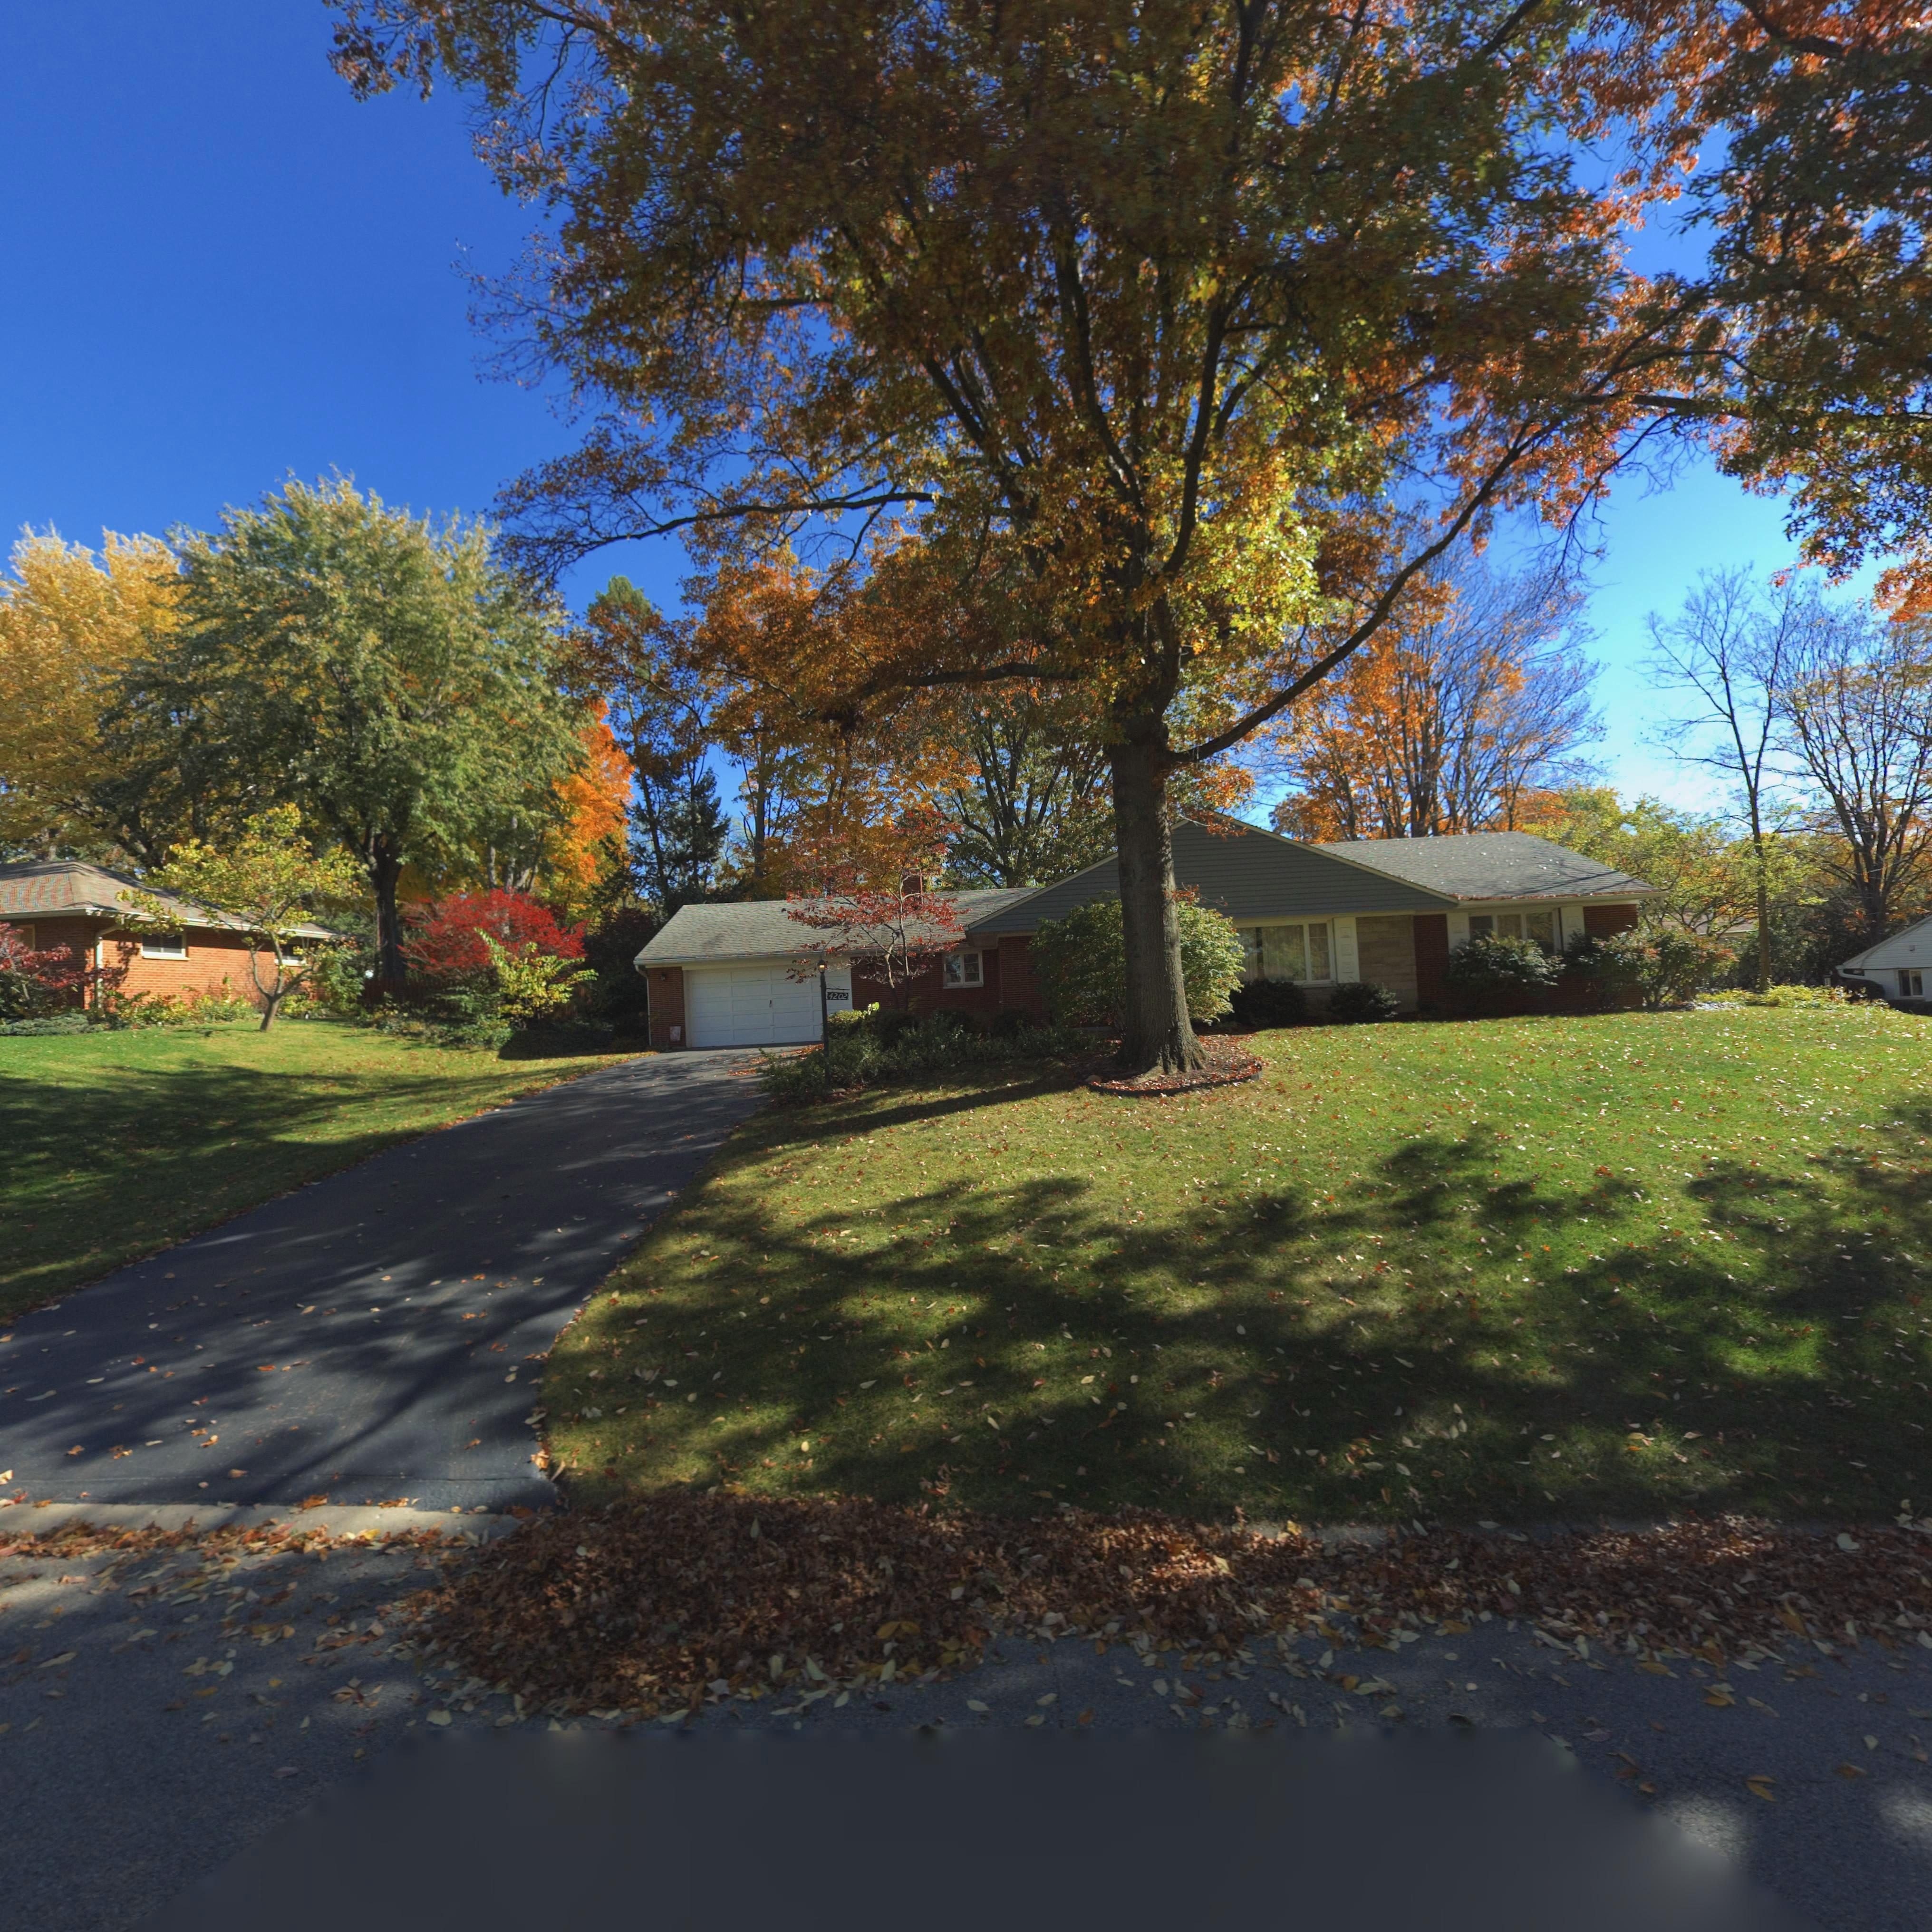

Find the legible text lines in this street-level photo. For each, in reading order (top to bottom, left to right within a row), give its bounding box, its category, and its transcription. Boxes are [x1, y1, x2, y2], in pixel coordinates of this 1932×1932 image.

[829, 992, 848, 1000] StreetNumber: 4202